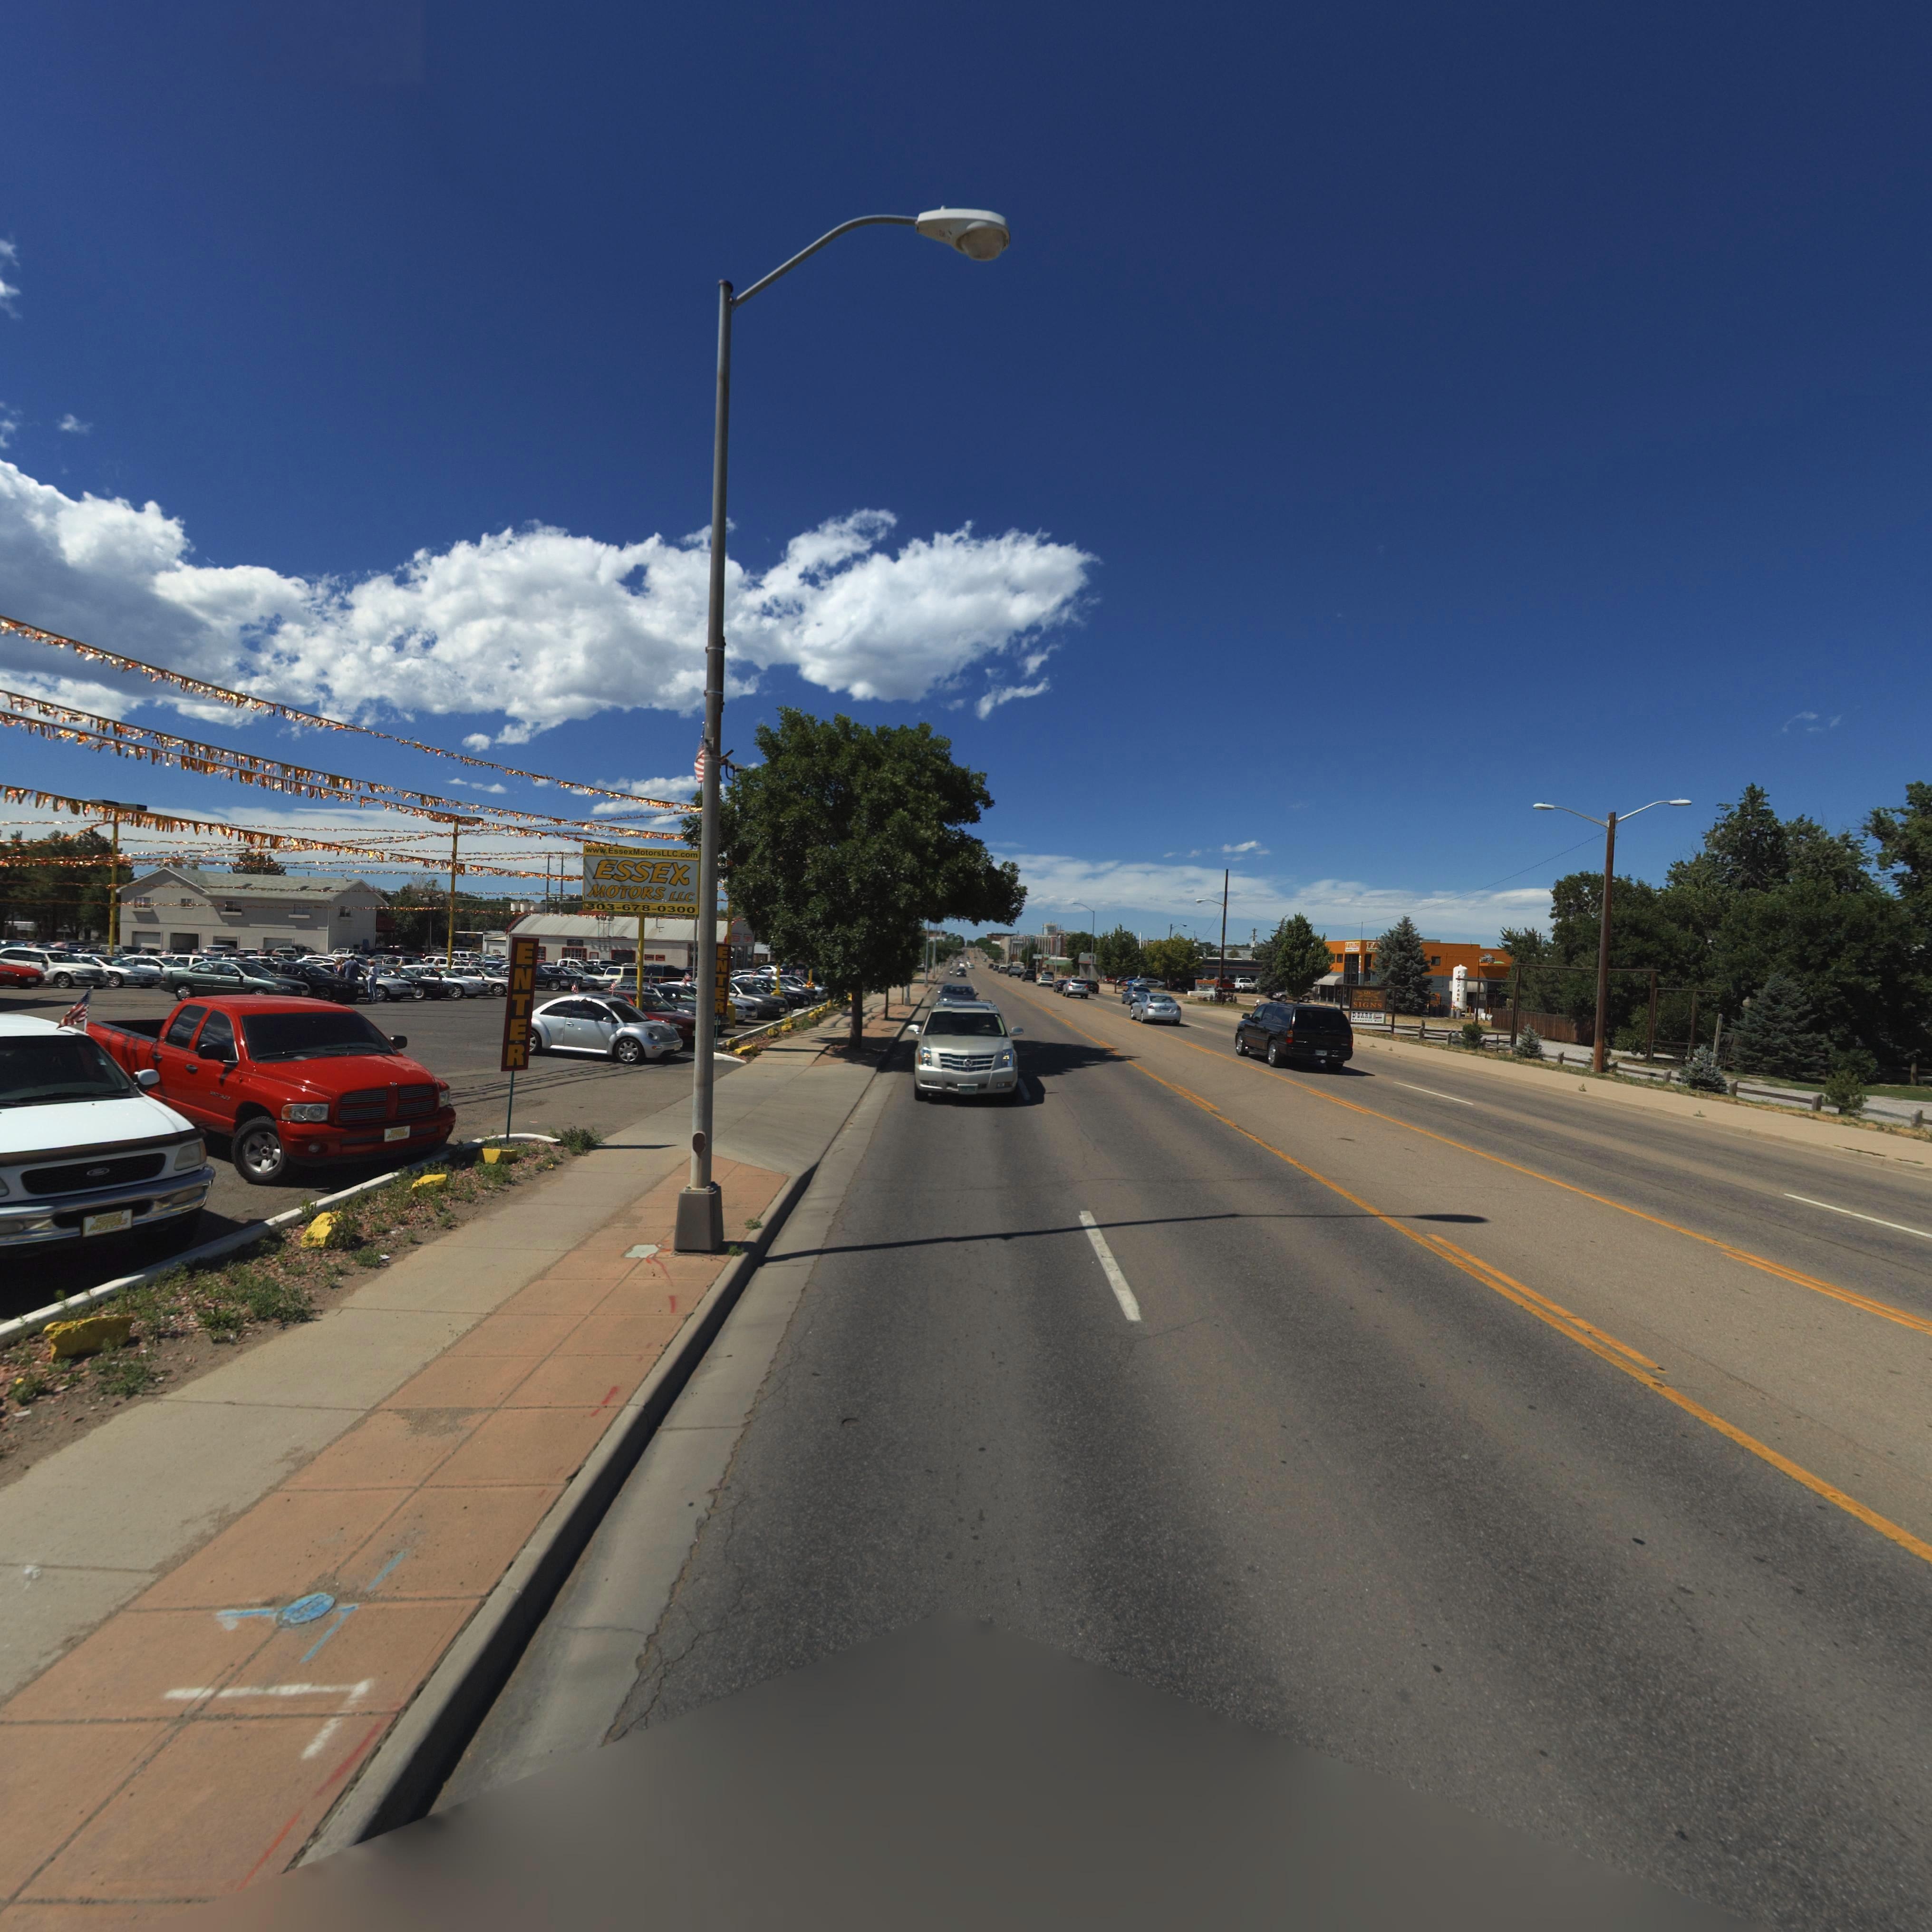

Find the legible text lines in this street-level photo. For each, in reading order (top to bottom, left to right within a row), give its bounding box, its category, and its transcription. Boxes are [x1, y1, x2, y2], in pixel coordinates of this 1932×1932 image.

[591, 858, 691, 887] BusinessName: ESSEX
[585, 882, 697, 903] BusinessName: MOTORS LLC
[1352, 1012, 1372, 1018] BusinessName: D*BARN
[1353, 1001, 1381, 1008] BusinessName: D*BARN